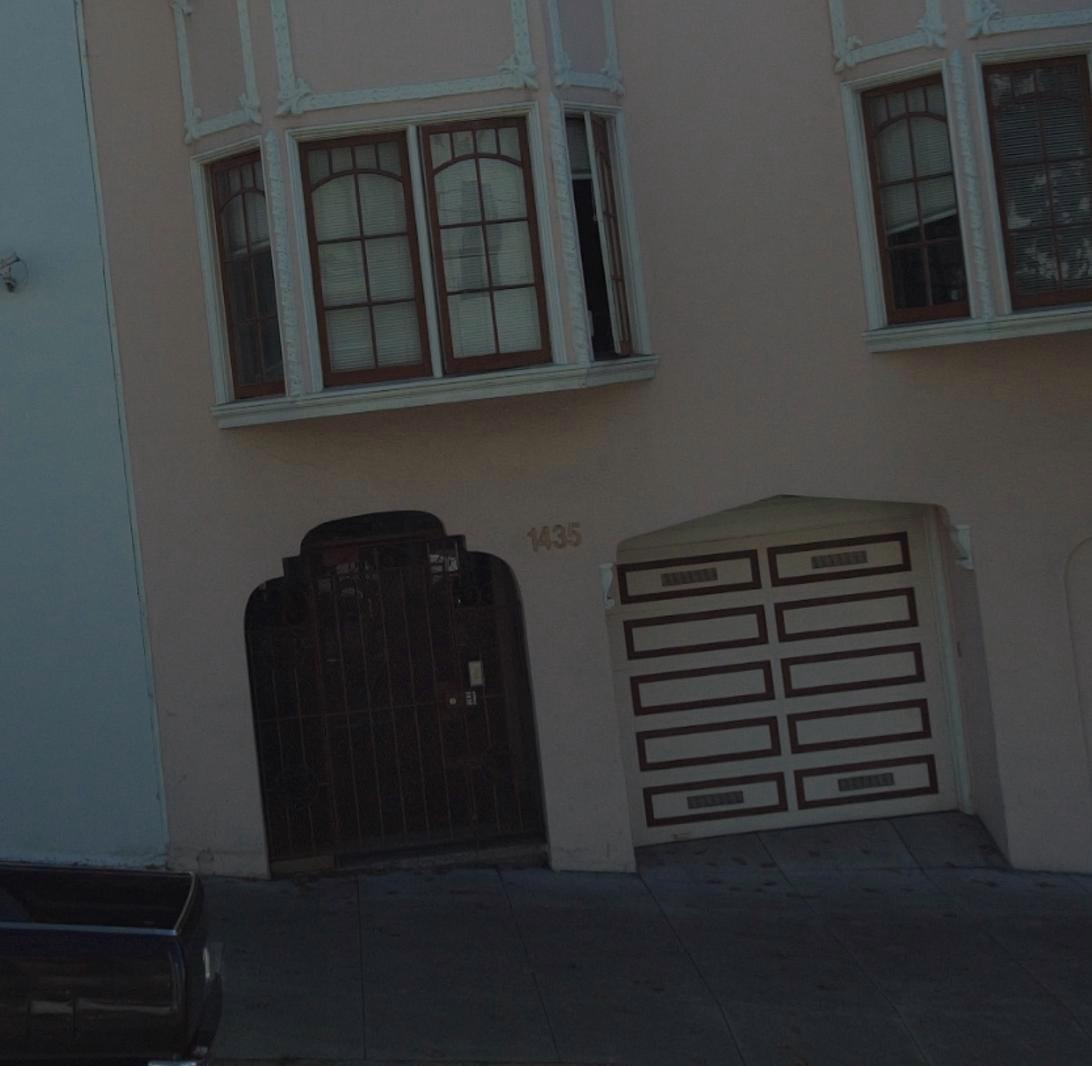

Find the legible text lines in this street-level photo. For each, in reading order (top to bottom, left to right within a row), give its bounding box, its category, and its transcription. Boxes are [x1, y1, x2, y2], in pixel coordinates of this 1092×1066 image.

[524, 519, 584, 555] StreetNumber: 1435